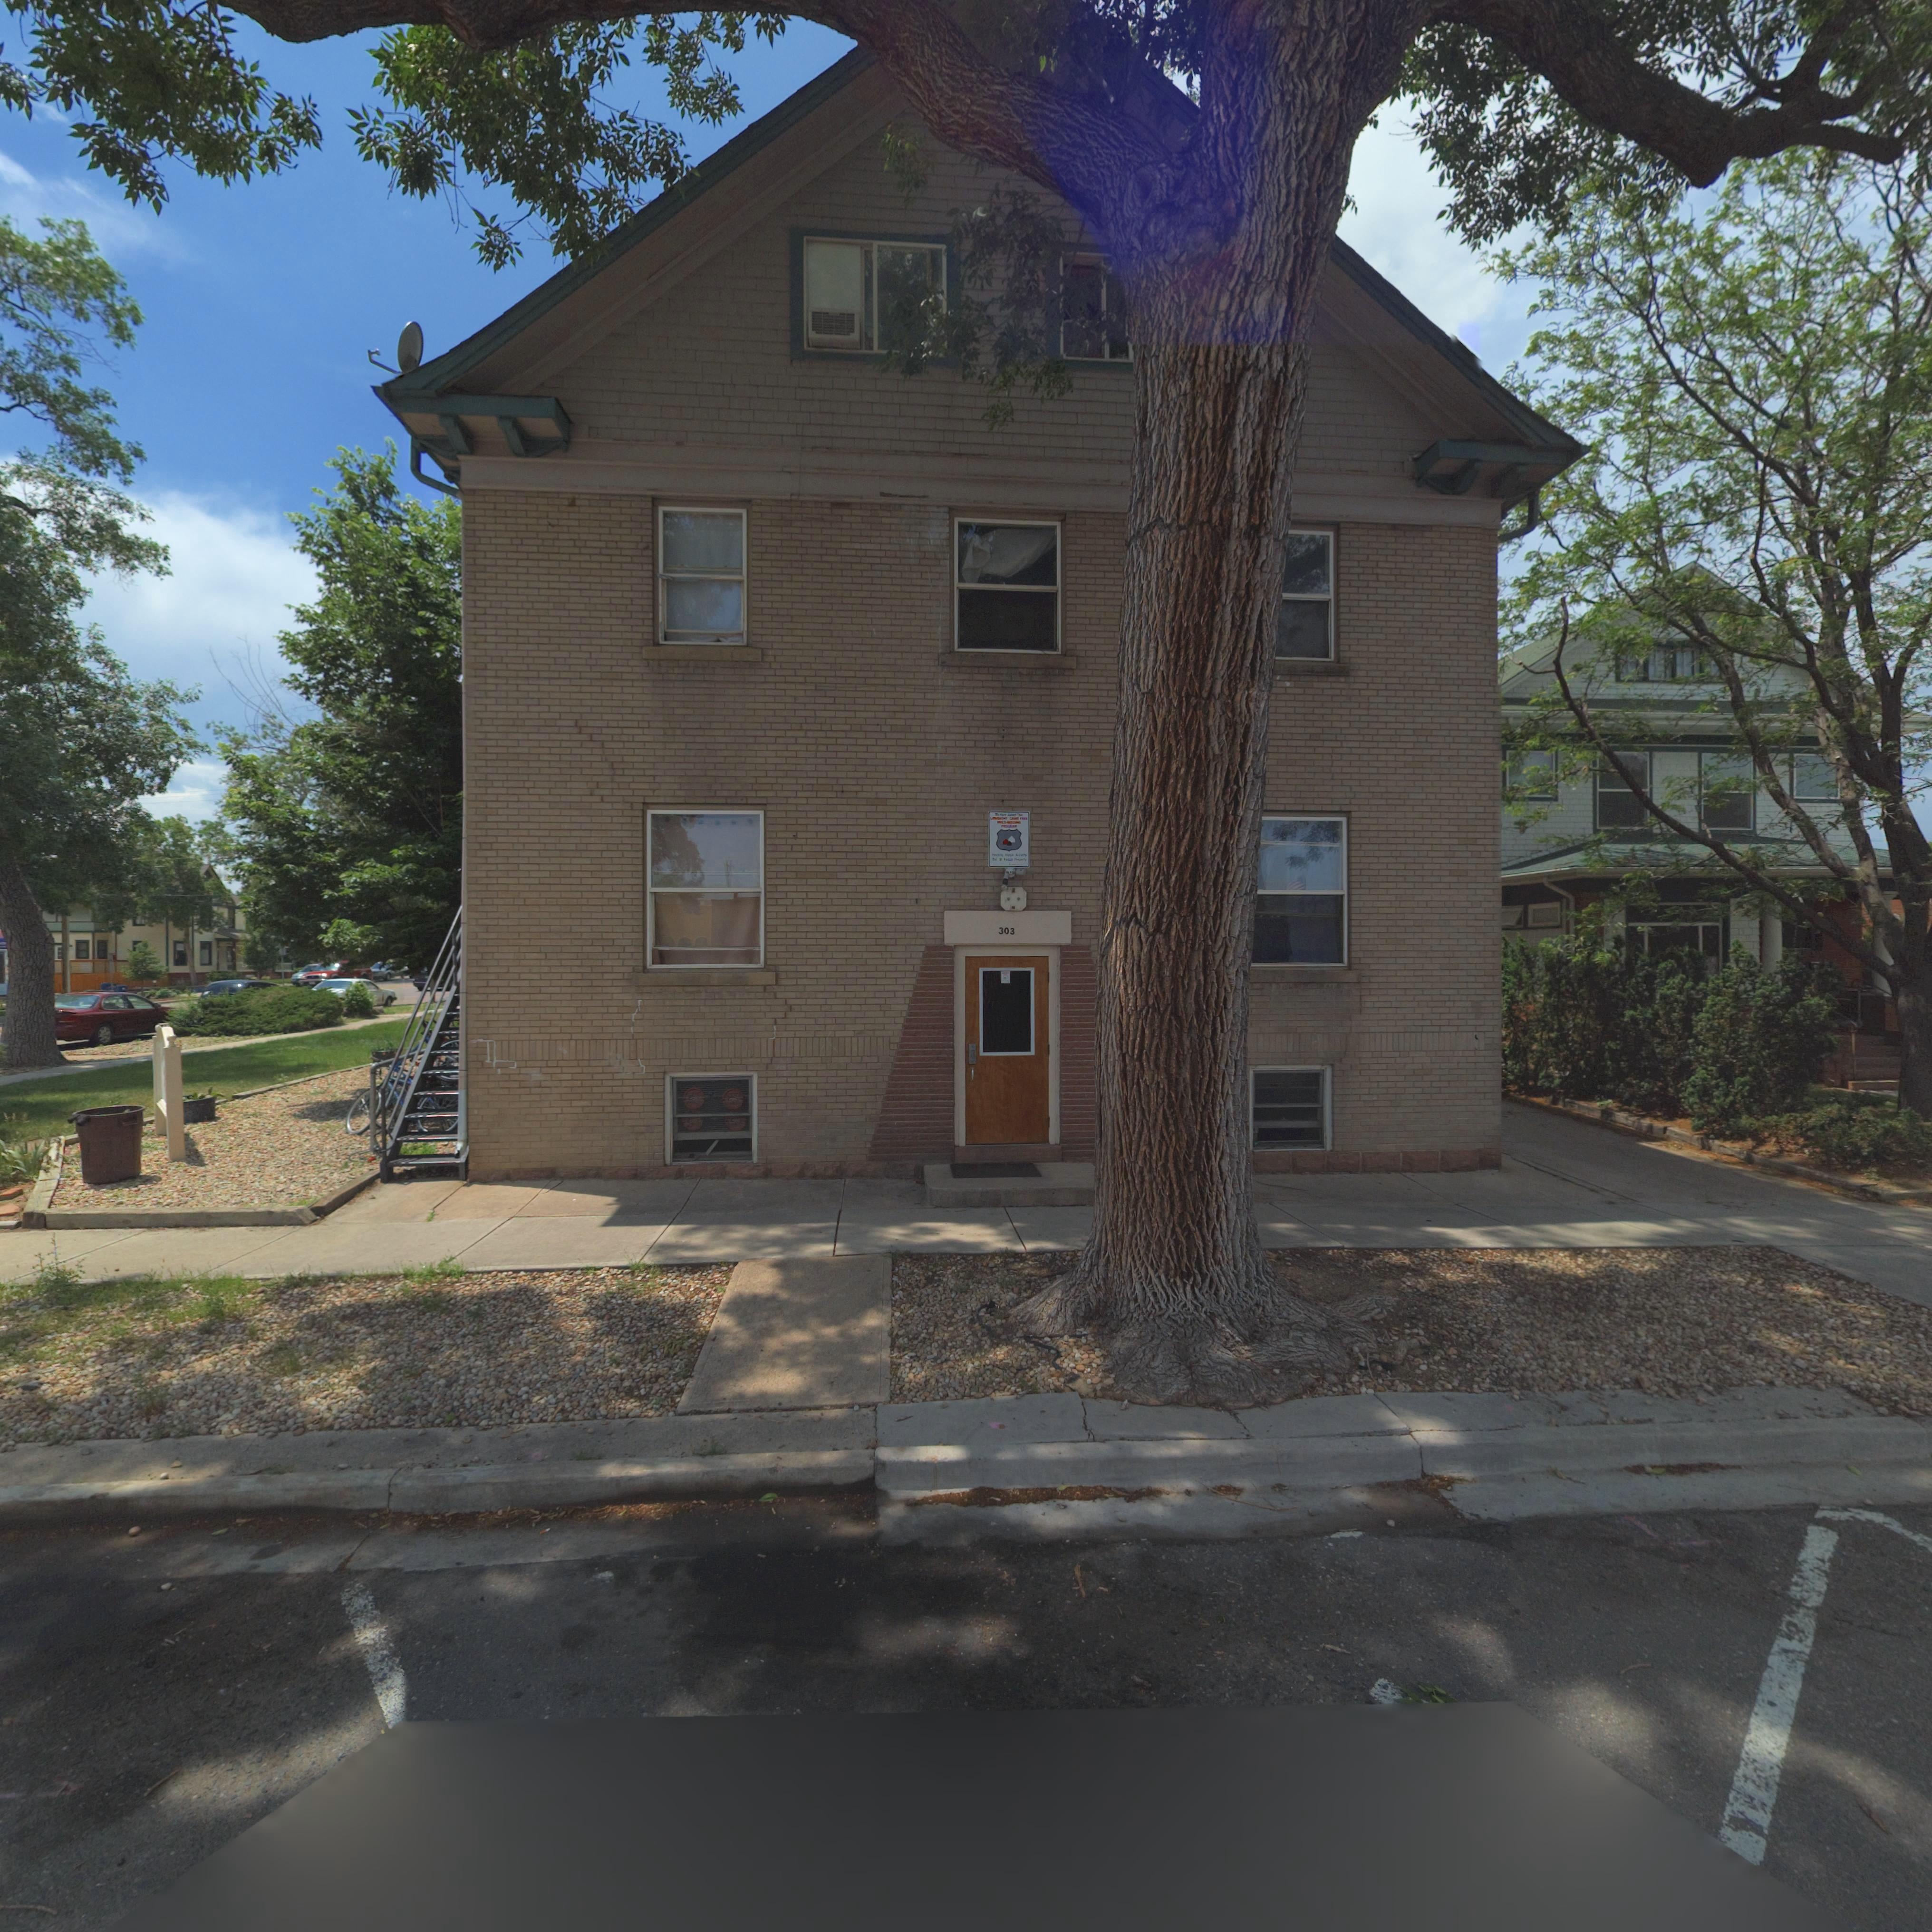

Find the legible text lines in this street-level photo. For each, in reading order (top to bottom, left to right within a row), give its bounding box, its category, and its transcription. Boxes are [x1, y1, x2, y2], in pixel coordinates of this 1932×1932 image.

[998, 927, 1015, 935] StreetNumber: 303